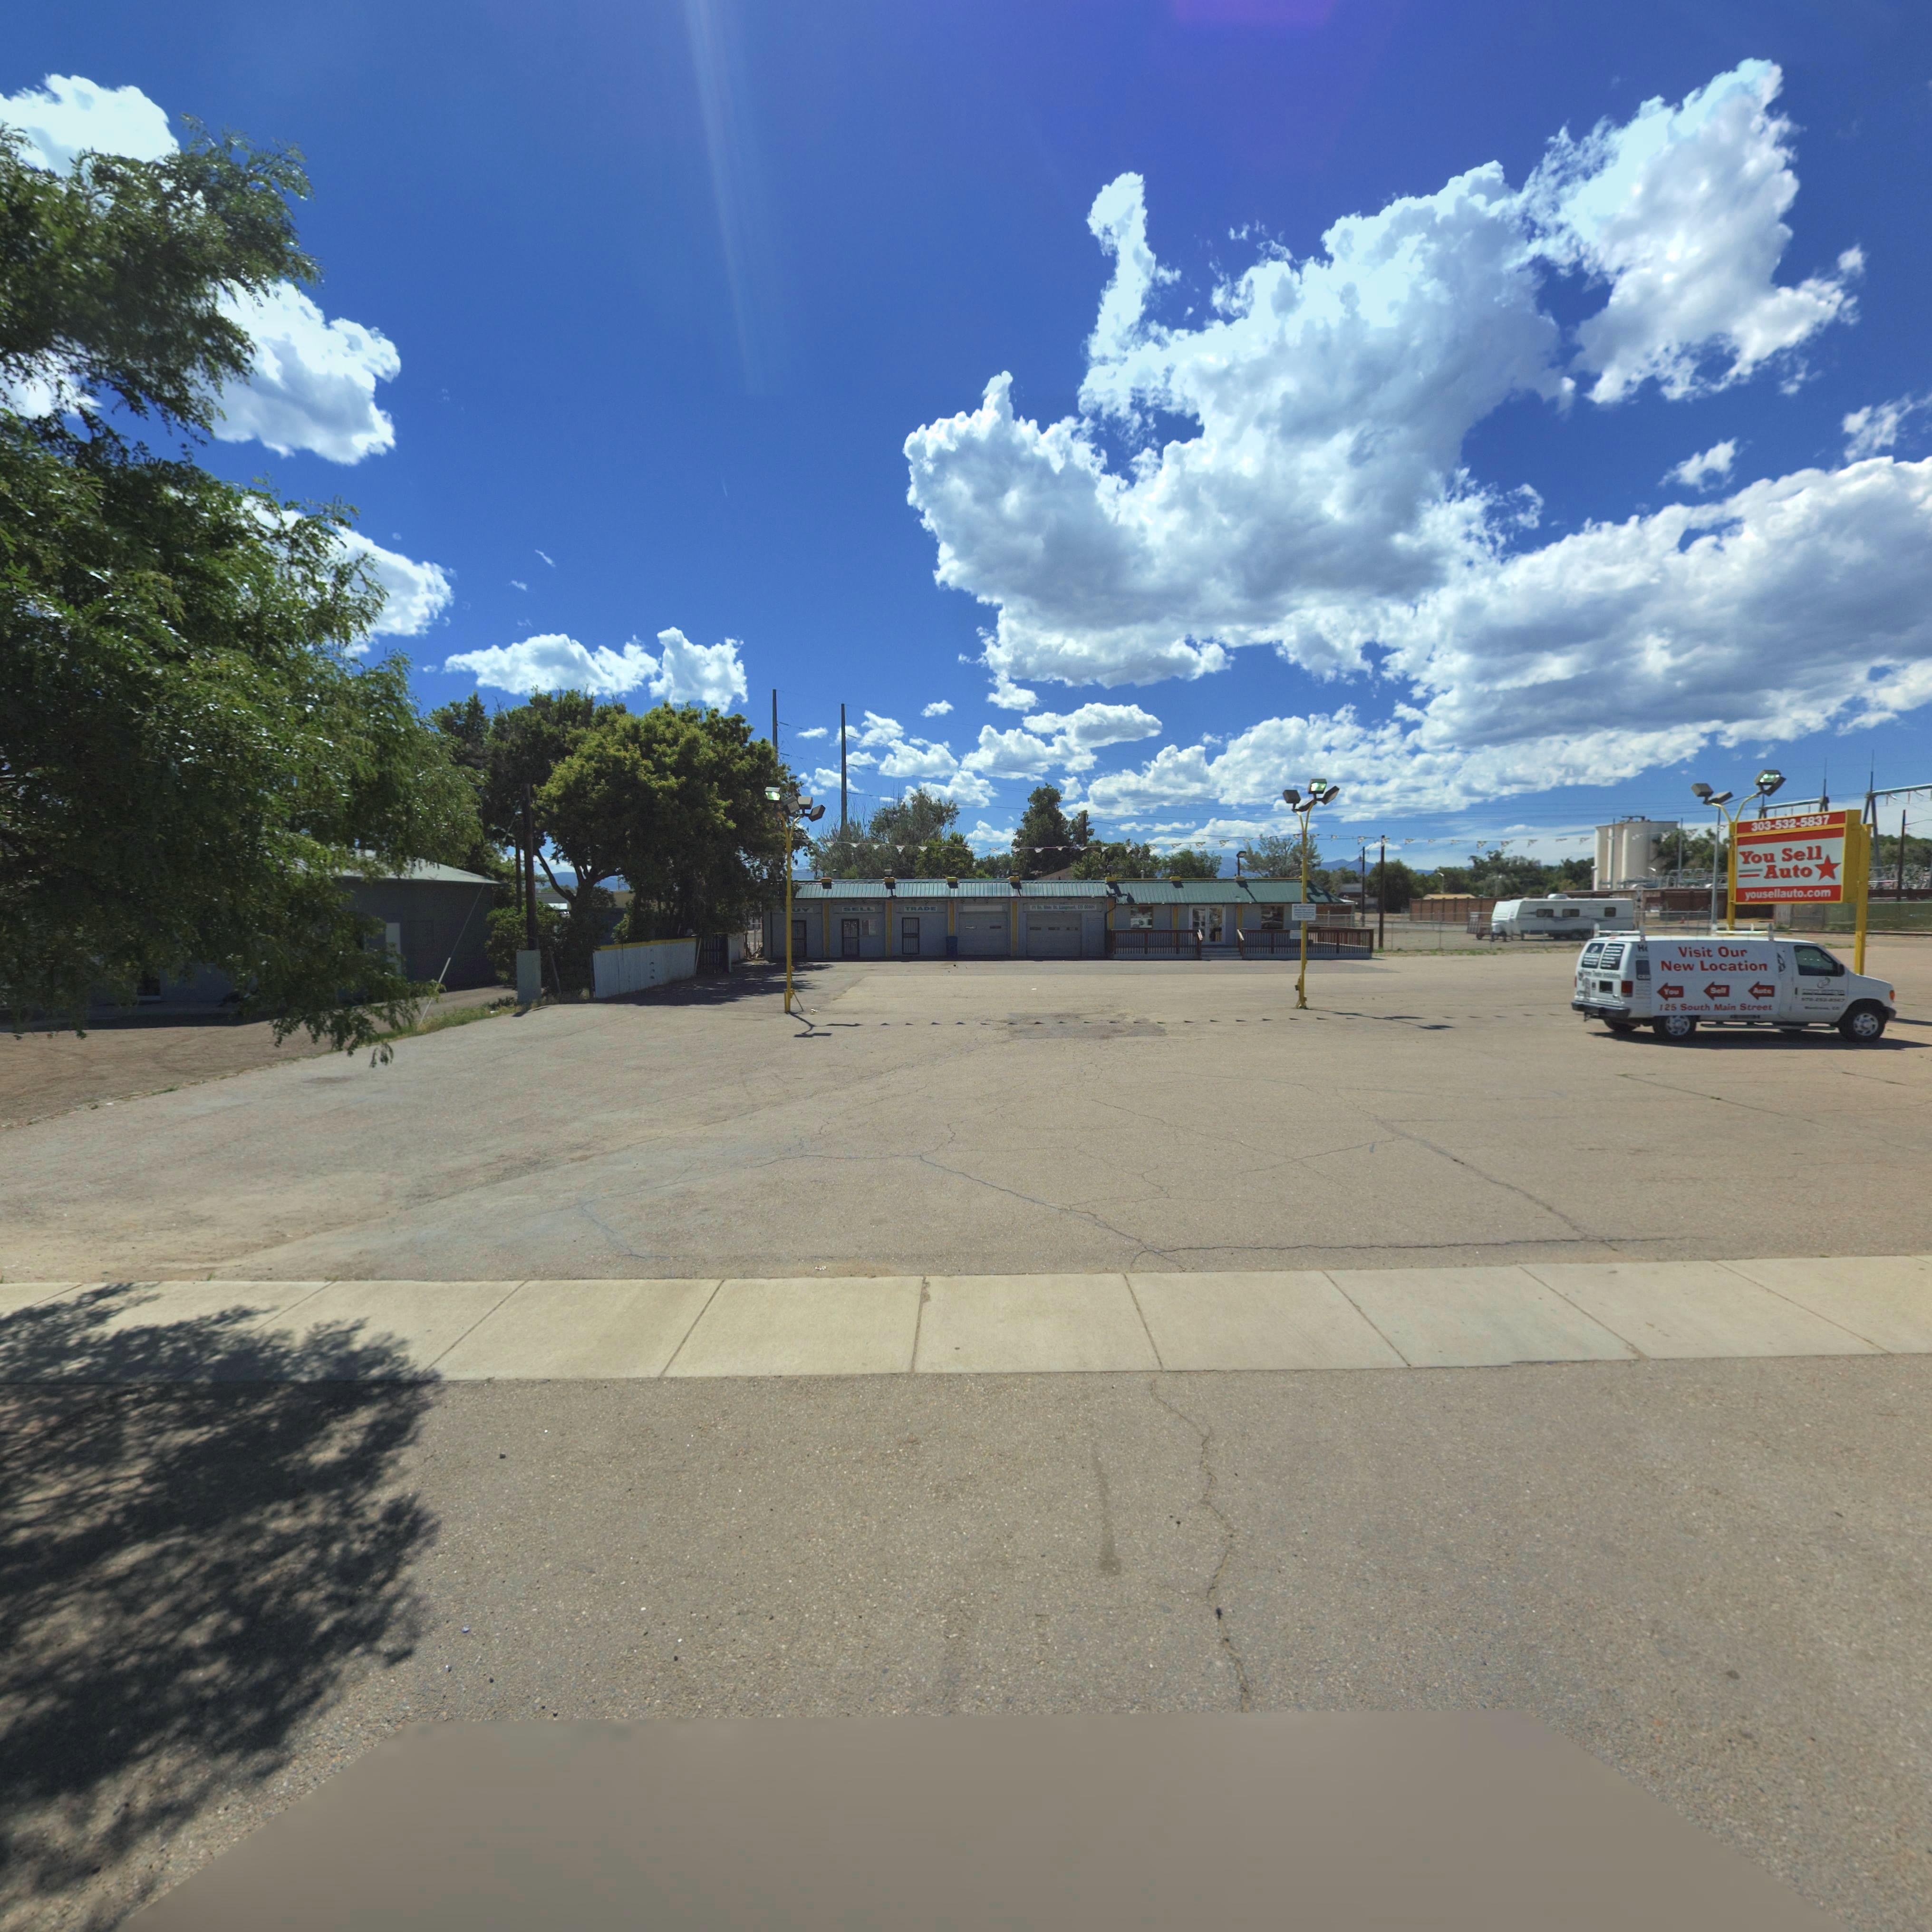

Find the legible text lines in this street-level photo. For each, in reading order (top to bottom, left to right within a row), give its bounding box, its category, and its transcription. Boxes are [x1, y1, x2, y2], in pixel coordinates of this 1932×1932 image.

[1738, 845, 1823, 864] BusinessName: You Sell
[1762, 863, 1813, 879] BusinessName: Auto
[1034, 906, 1036, 909] StreetNumber: 1
[1036, 905, 1058, 909] StreetName: So. Main St.
[1659, 1003, 1677, 1011] StreetNumber: 125
[1679, 1003, 1772, 1011] StreetName: South Main Street